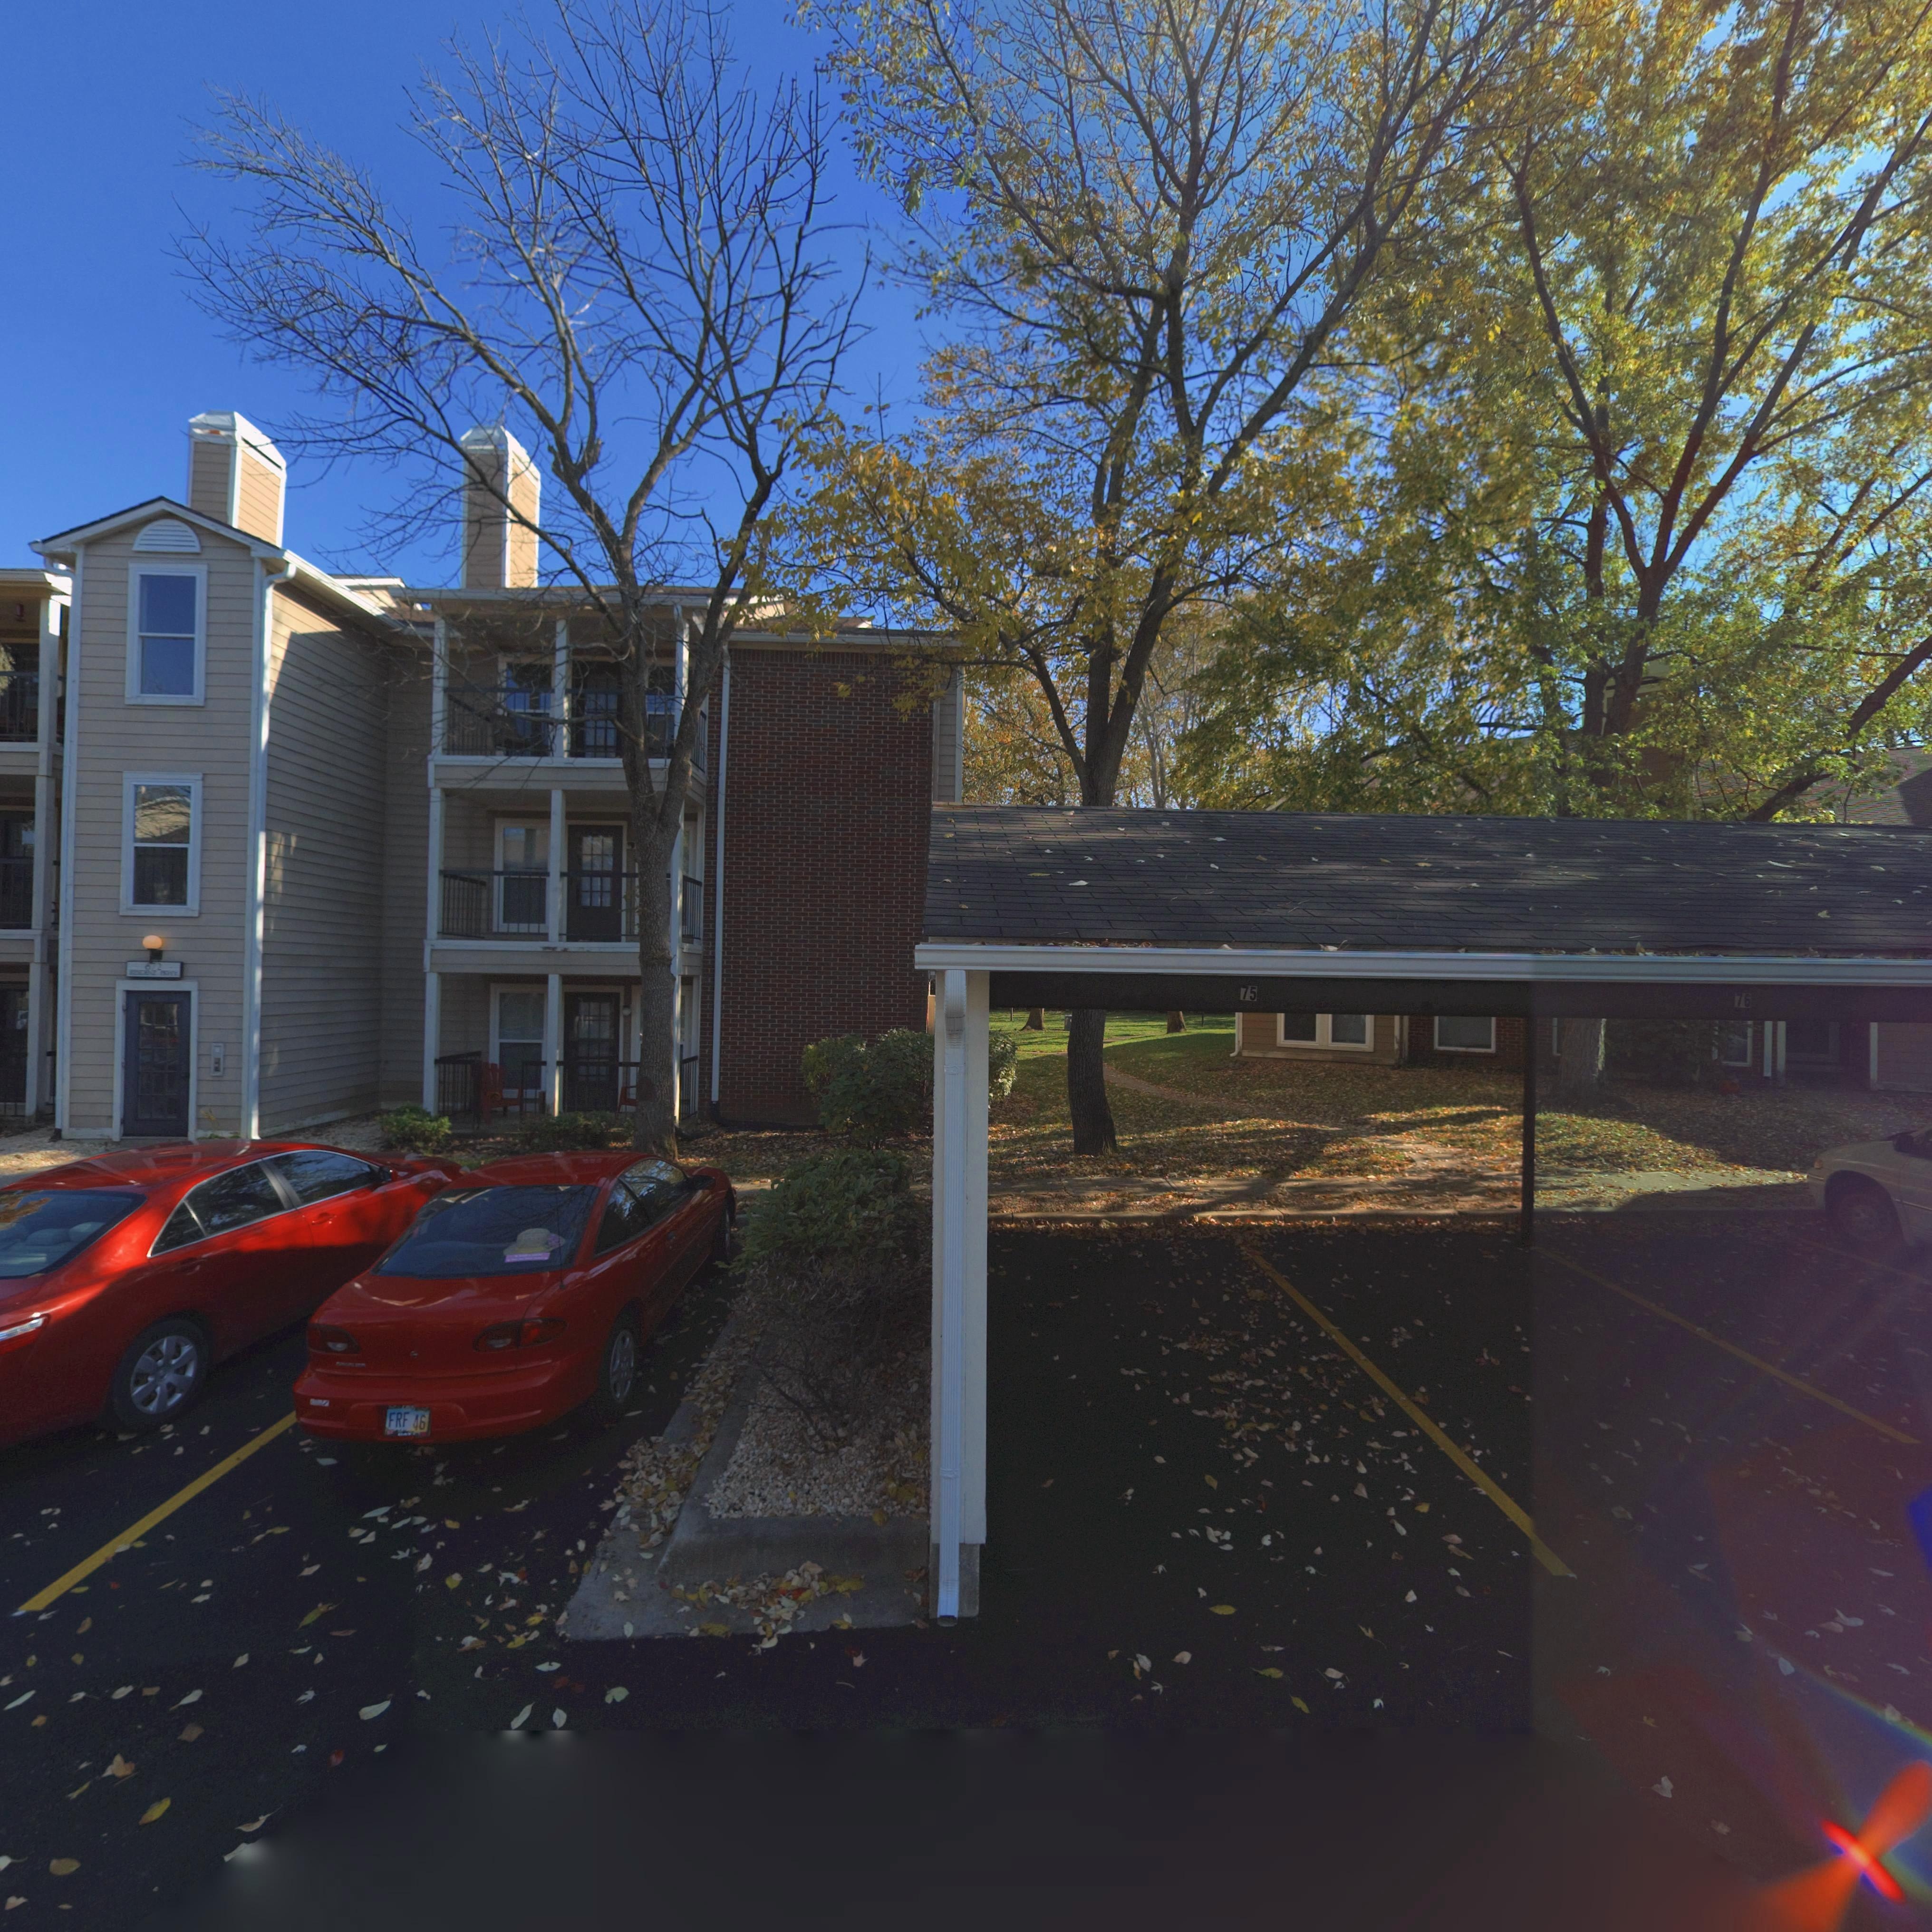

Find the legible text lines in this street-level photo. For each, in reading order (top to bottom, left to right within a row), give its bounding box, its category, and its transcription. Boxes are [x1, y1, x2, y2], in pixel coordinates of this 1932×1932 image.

[144, 961, 163, 971] StreetNumber: 672
[1240, 985, 1257, 1002] StreetNumber: 75
[1735, 992, 1751, 1008] StreetNumber: 76
[387, 1410, 427, 1431] None: FRF *6